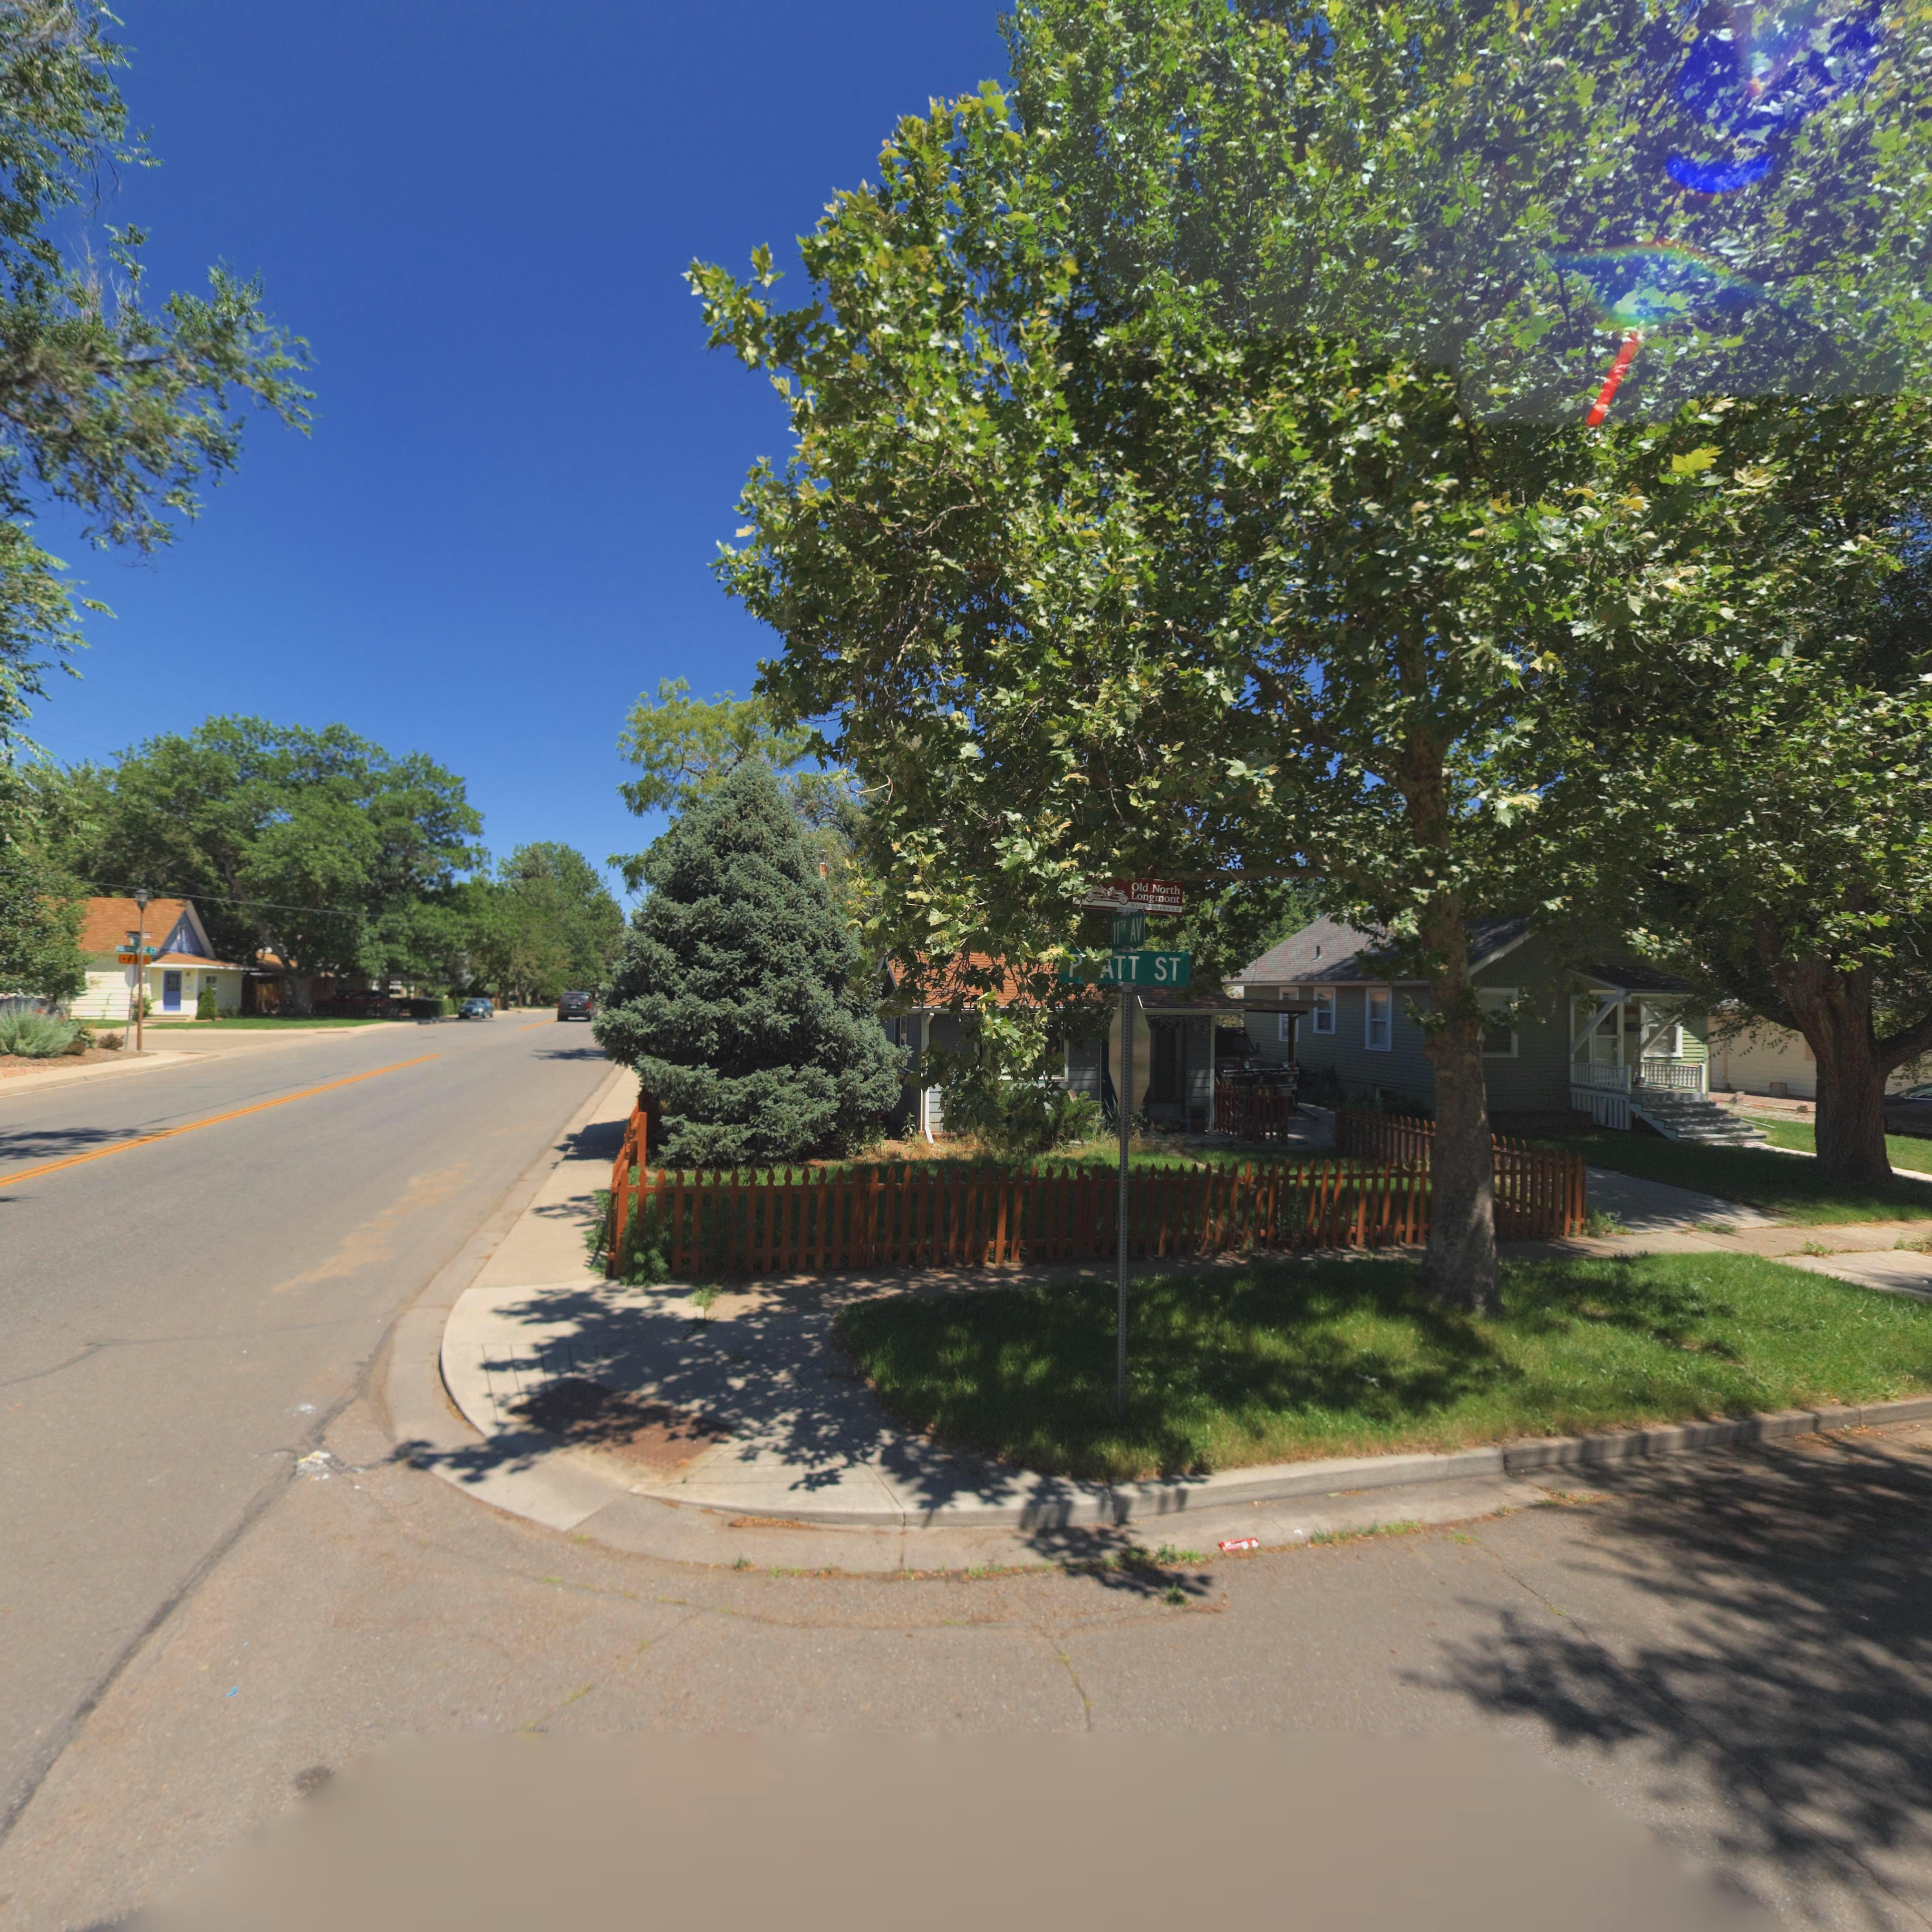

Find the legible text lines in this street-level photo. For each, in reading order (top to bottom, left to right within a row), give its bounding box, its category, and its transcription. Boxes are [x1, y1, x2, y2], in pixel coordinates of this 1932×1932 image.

[1111, 915, 1143, 945] StreetName: 11TH AV
[149, 947, 157, 953] StreetName: CT
[1068, 953, 1182, 982] StreetName: P*ATT ST